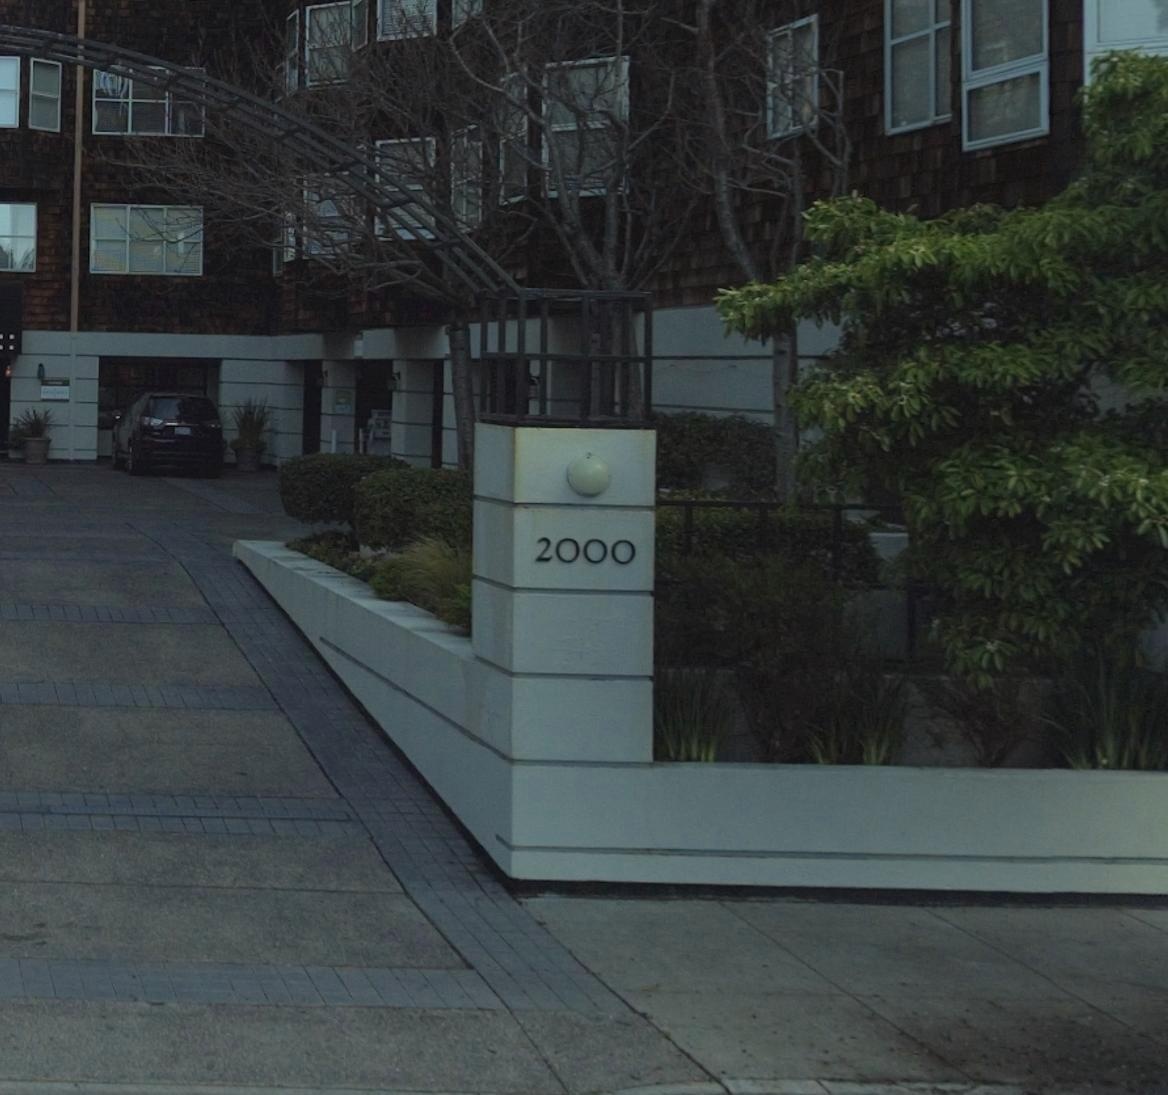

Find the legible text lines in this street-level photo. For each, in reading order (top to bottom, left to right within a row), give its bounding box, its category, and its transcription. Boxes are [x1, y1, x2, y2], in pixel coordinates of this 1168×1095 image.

[533, 536, 638, 567] StreetNumber: 2000